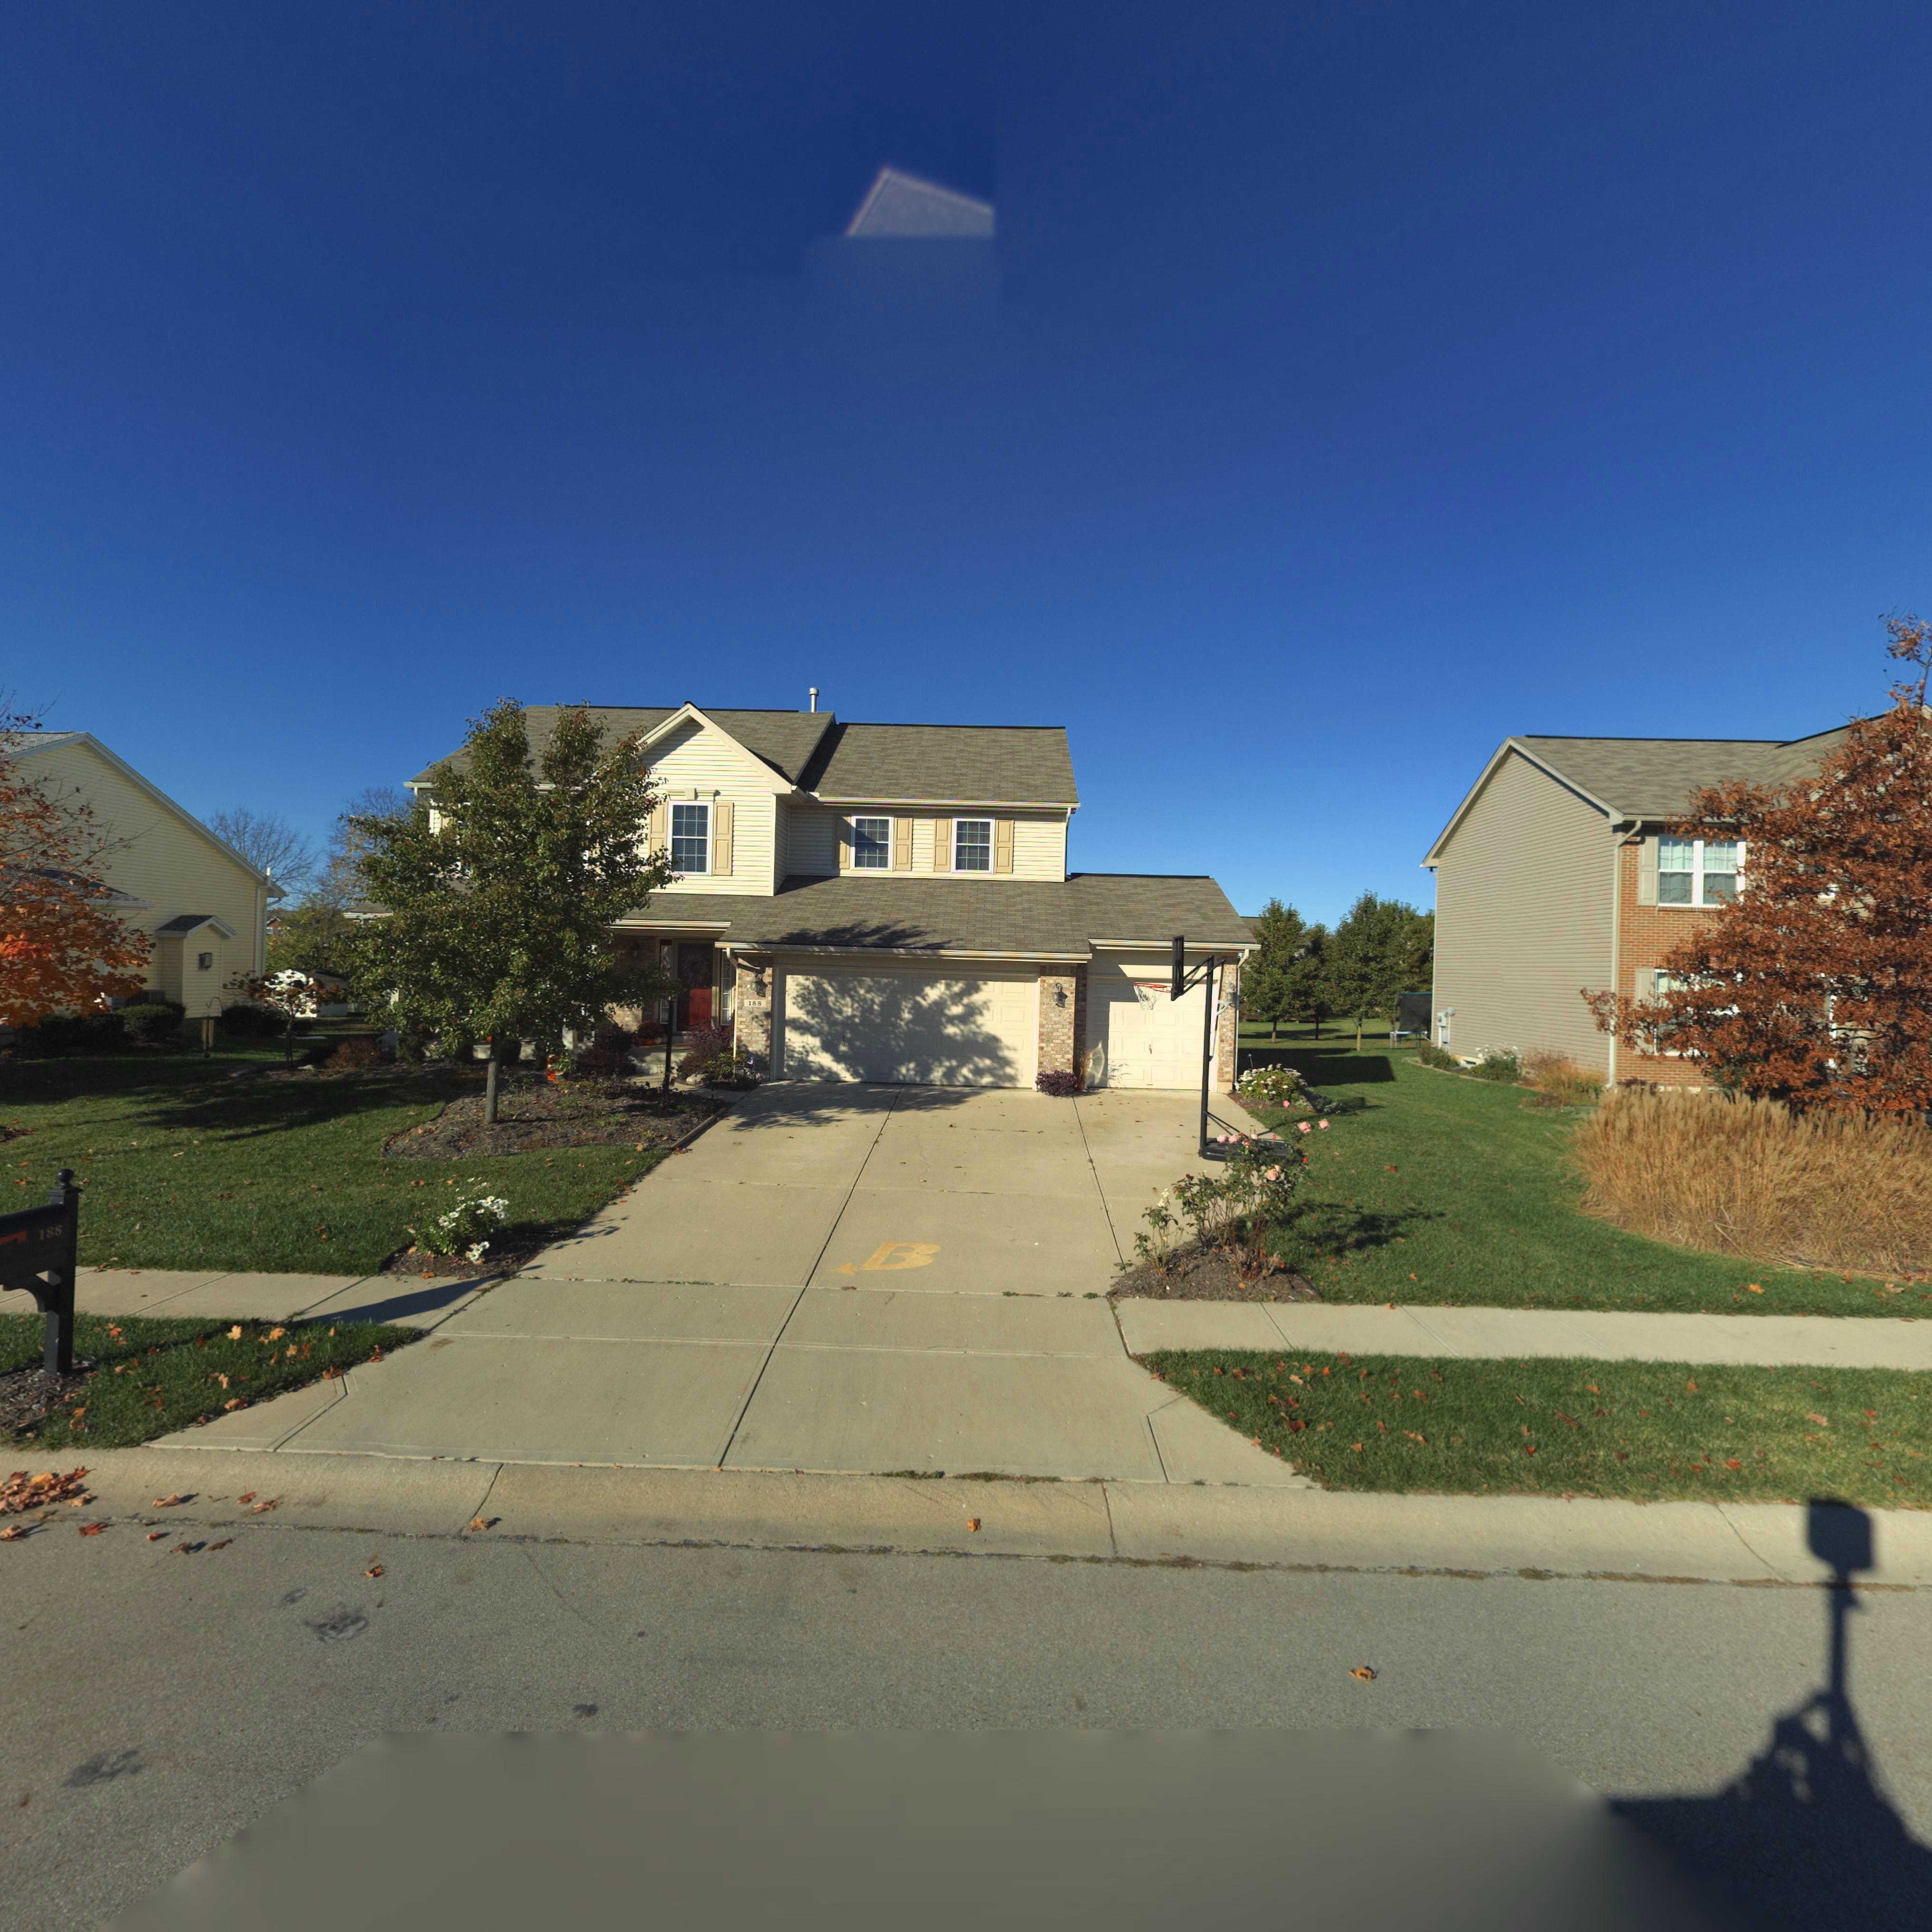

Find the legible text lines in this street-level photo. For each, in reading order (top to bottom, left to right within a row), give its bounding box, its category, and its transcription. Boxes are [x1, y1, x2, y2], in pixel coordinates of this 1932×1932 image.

[748, 1000, 763, 1007] StreetNumber: 188
[39, 1223, 63, 1241] StreetNumber: 188